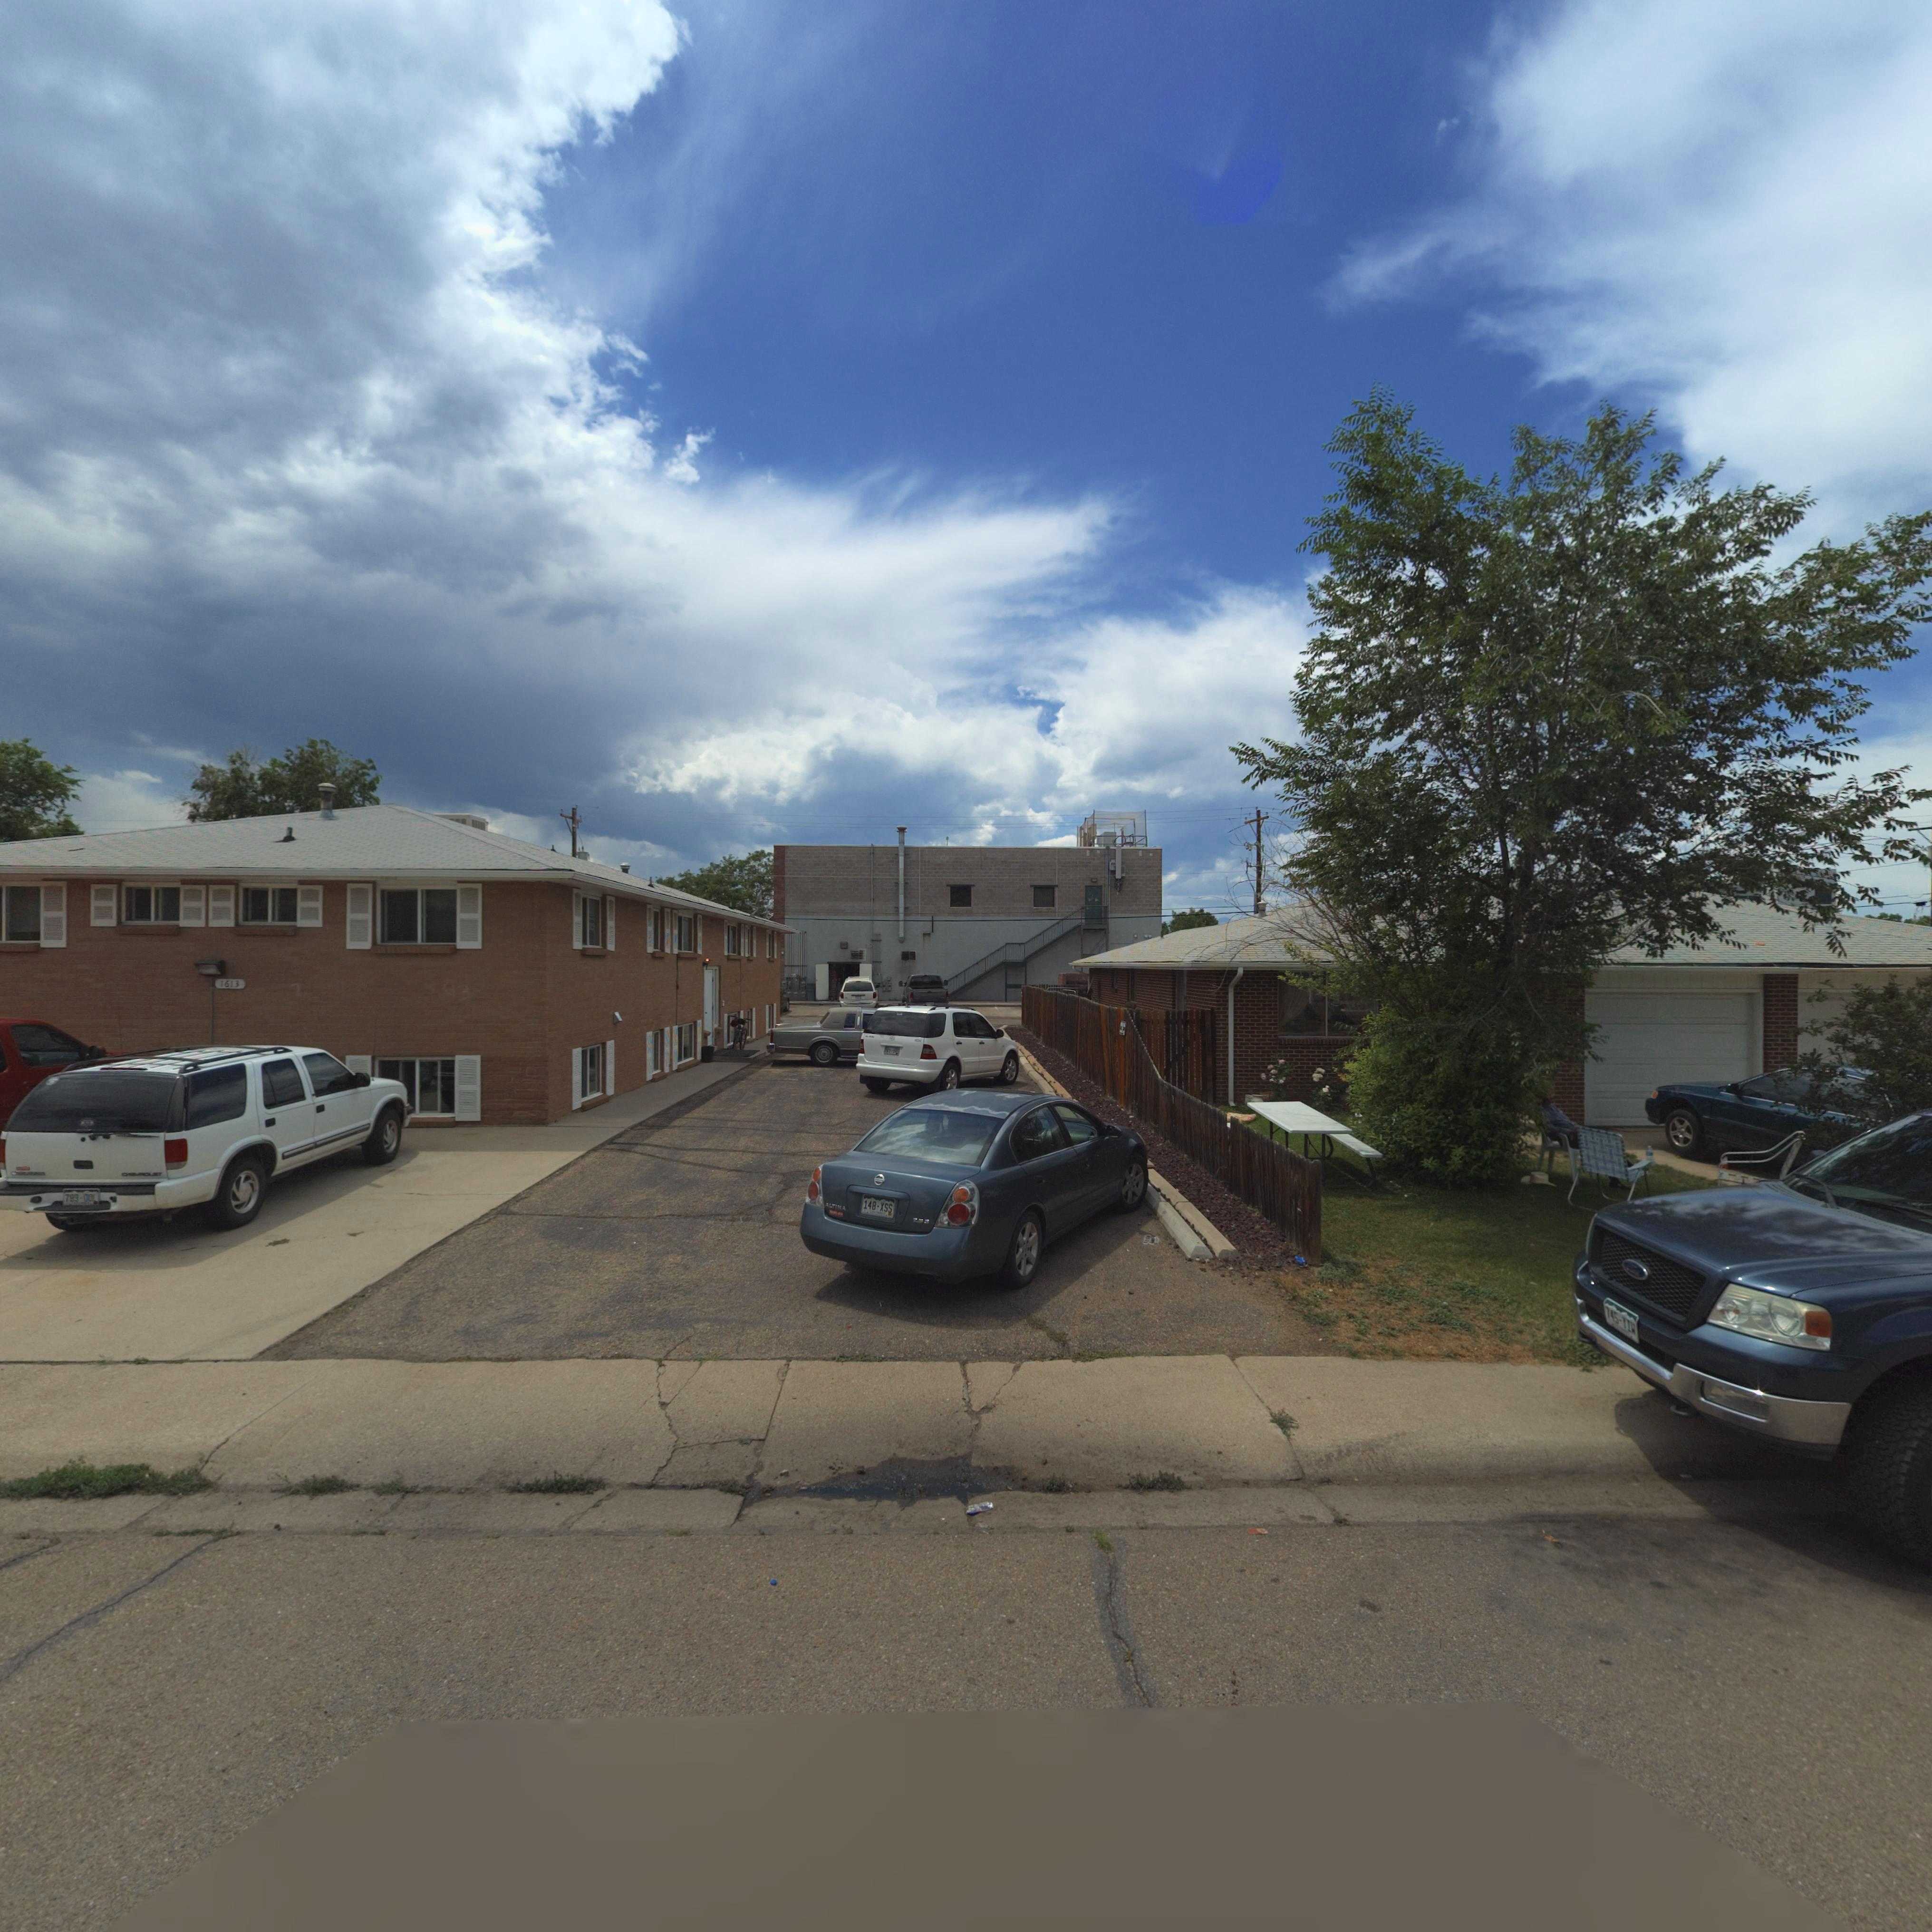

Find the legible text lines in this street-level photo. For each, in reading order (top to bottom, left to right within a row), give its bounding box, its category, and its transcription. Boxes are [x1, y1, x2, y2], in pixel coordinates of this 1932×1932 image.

[219, 980, 240, 988] StreetNumber: 1613